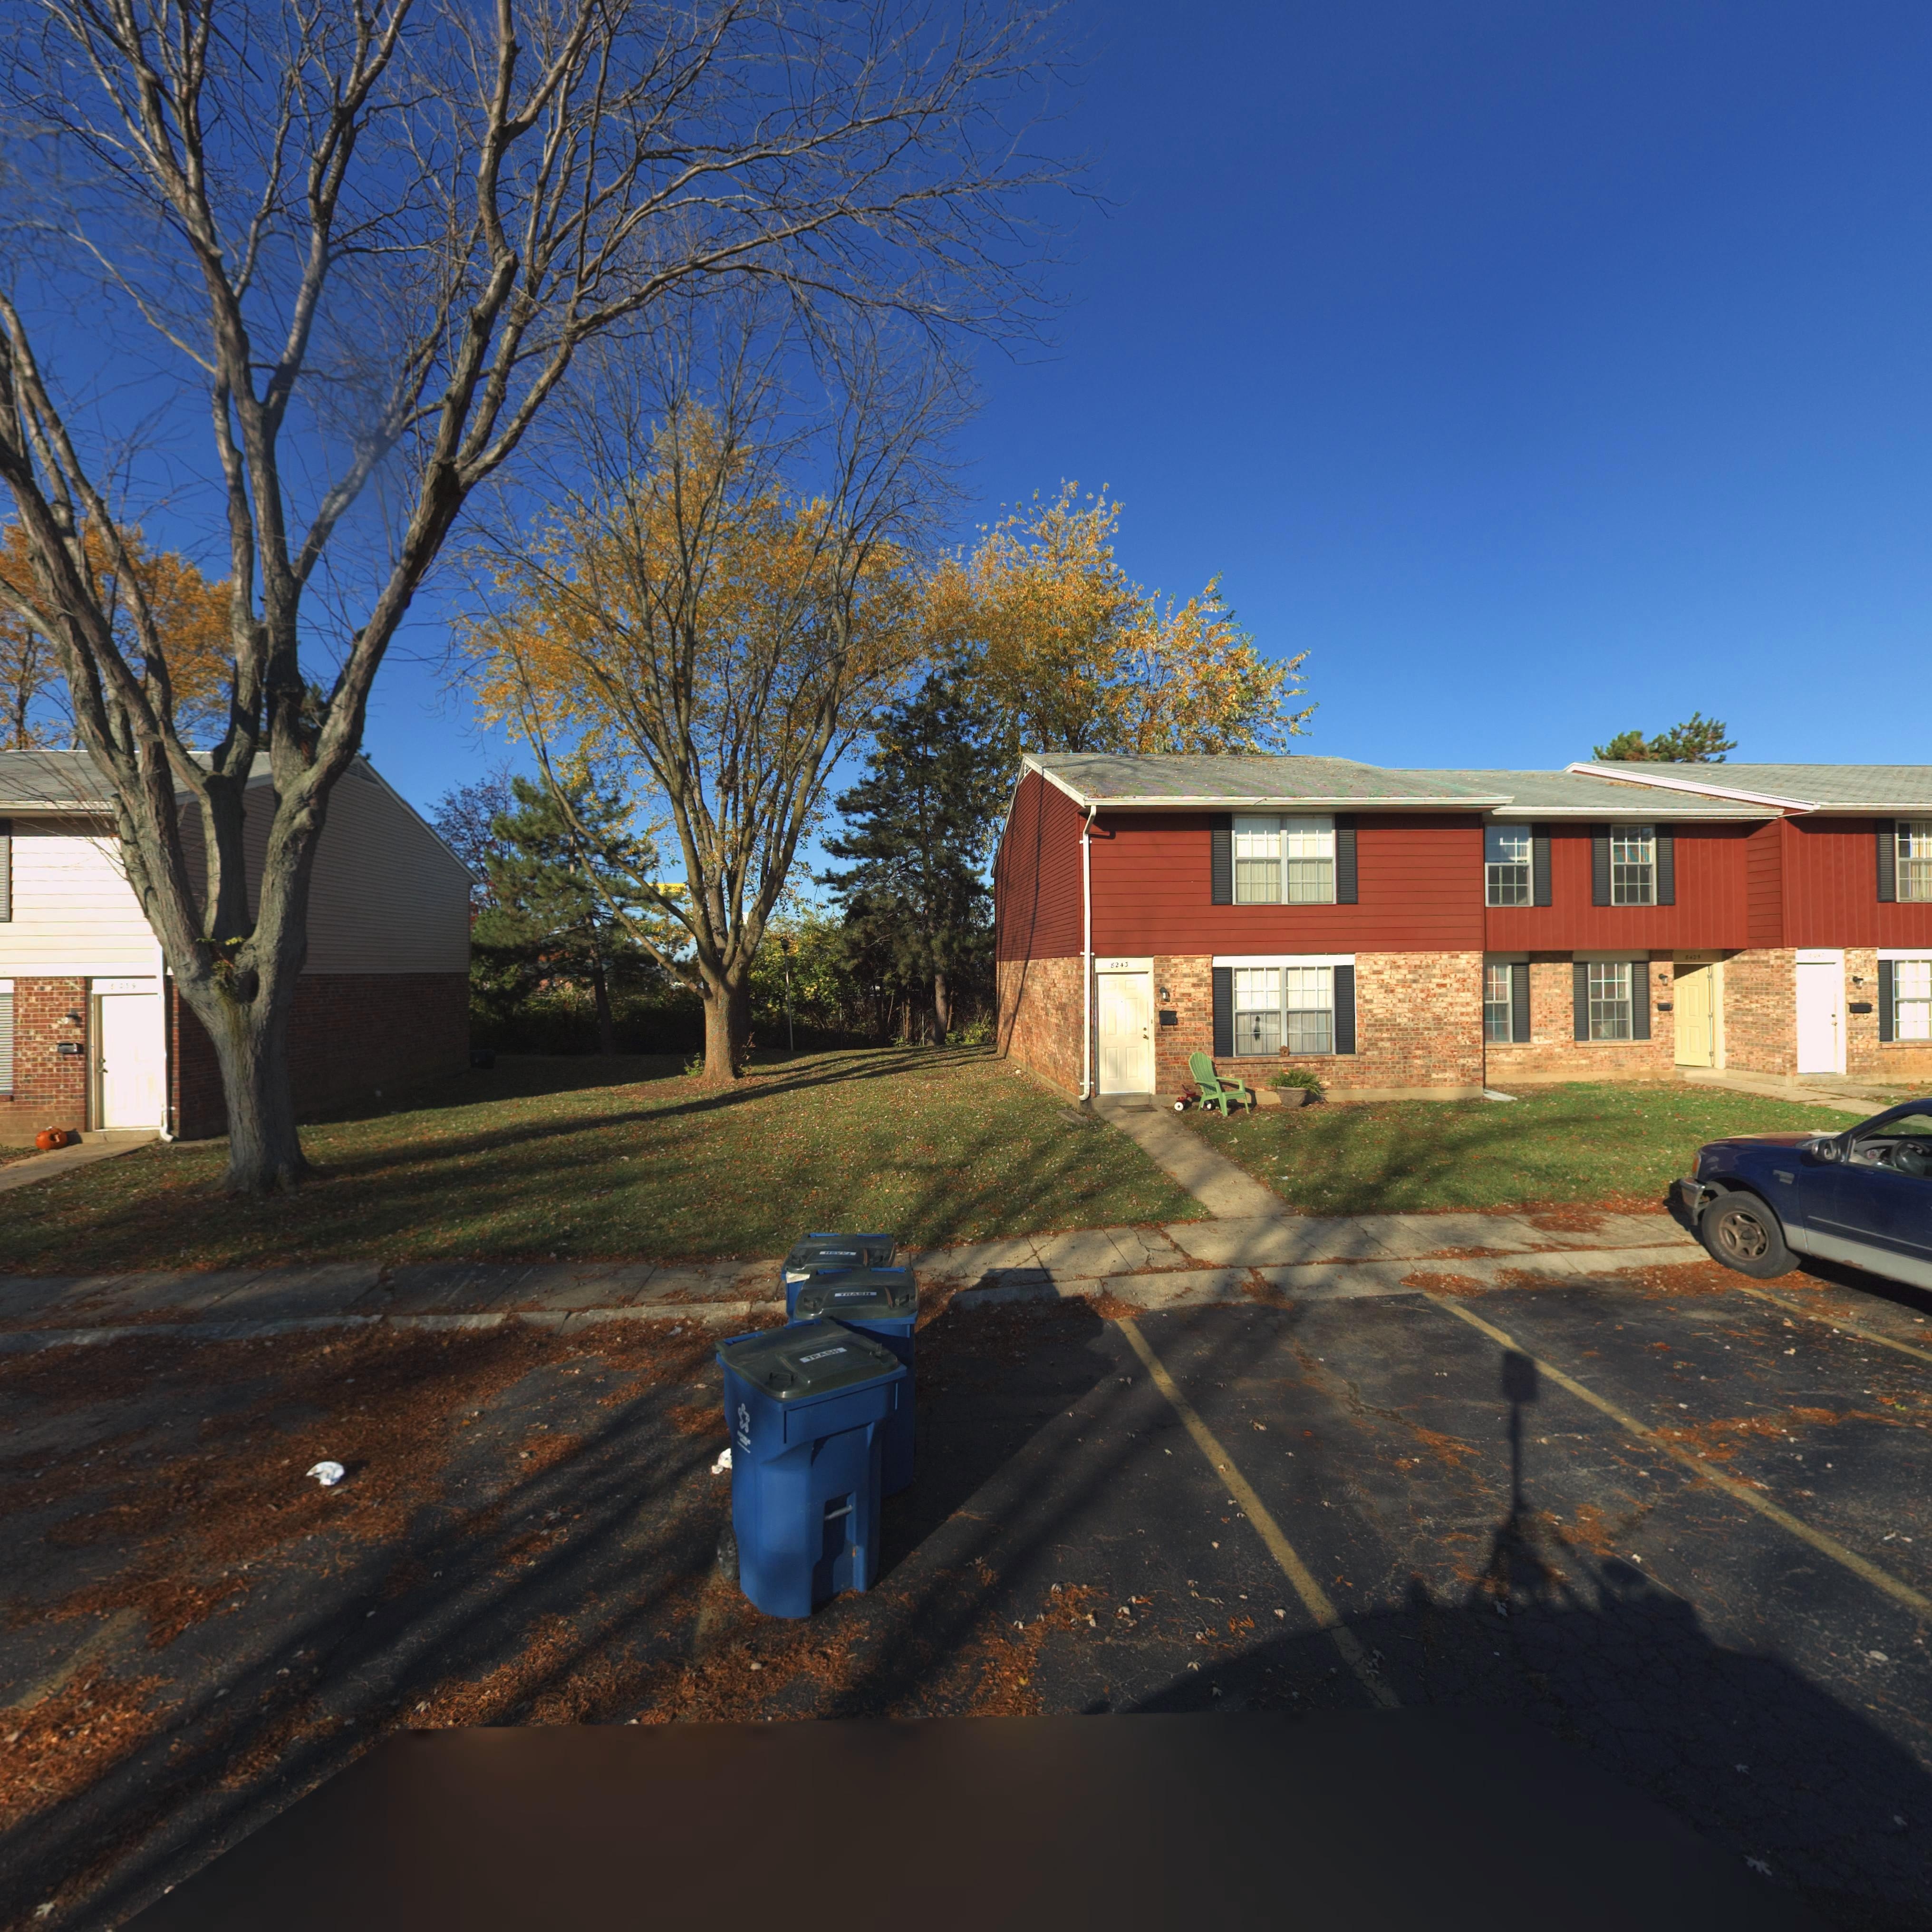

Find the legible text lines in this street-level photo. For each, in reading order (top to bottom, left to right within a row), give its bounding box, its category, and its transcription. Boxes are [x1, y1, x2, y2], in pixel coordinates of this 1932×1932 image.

[1684, 958, 1701, 964] StreetNumber: 842*
[1110, 962, 1129, 970] StreetNumber: 8243
[108, 976, 137, 985] StreetNumber: *2*5